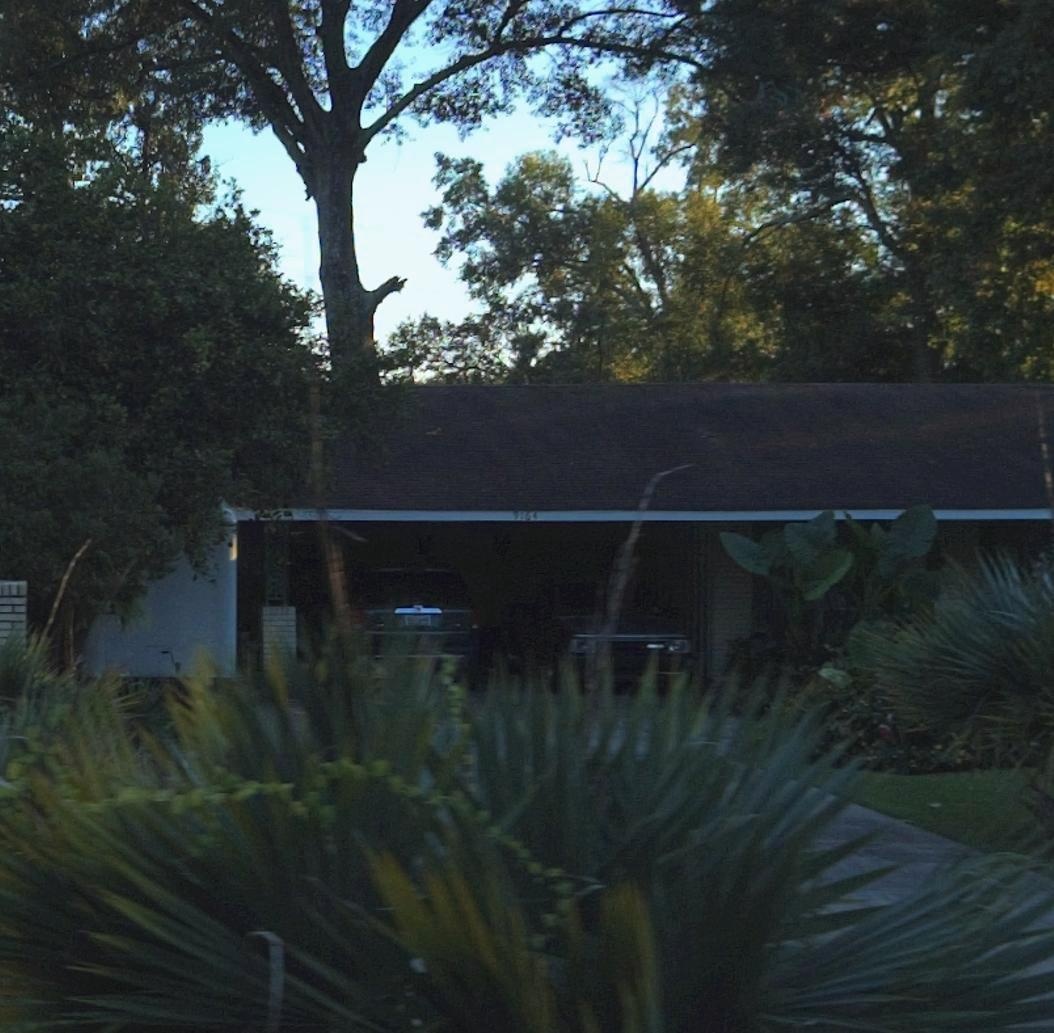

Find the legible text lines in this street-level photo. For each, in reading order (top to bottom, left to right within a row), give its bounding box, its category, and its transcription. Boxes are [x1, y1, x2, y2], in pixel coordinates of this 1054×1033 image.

[511, 510, 539, 521] StreetNumber: 9164